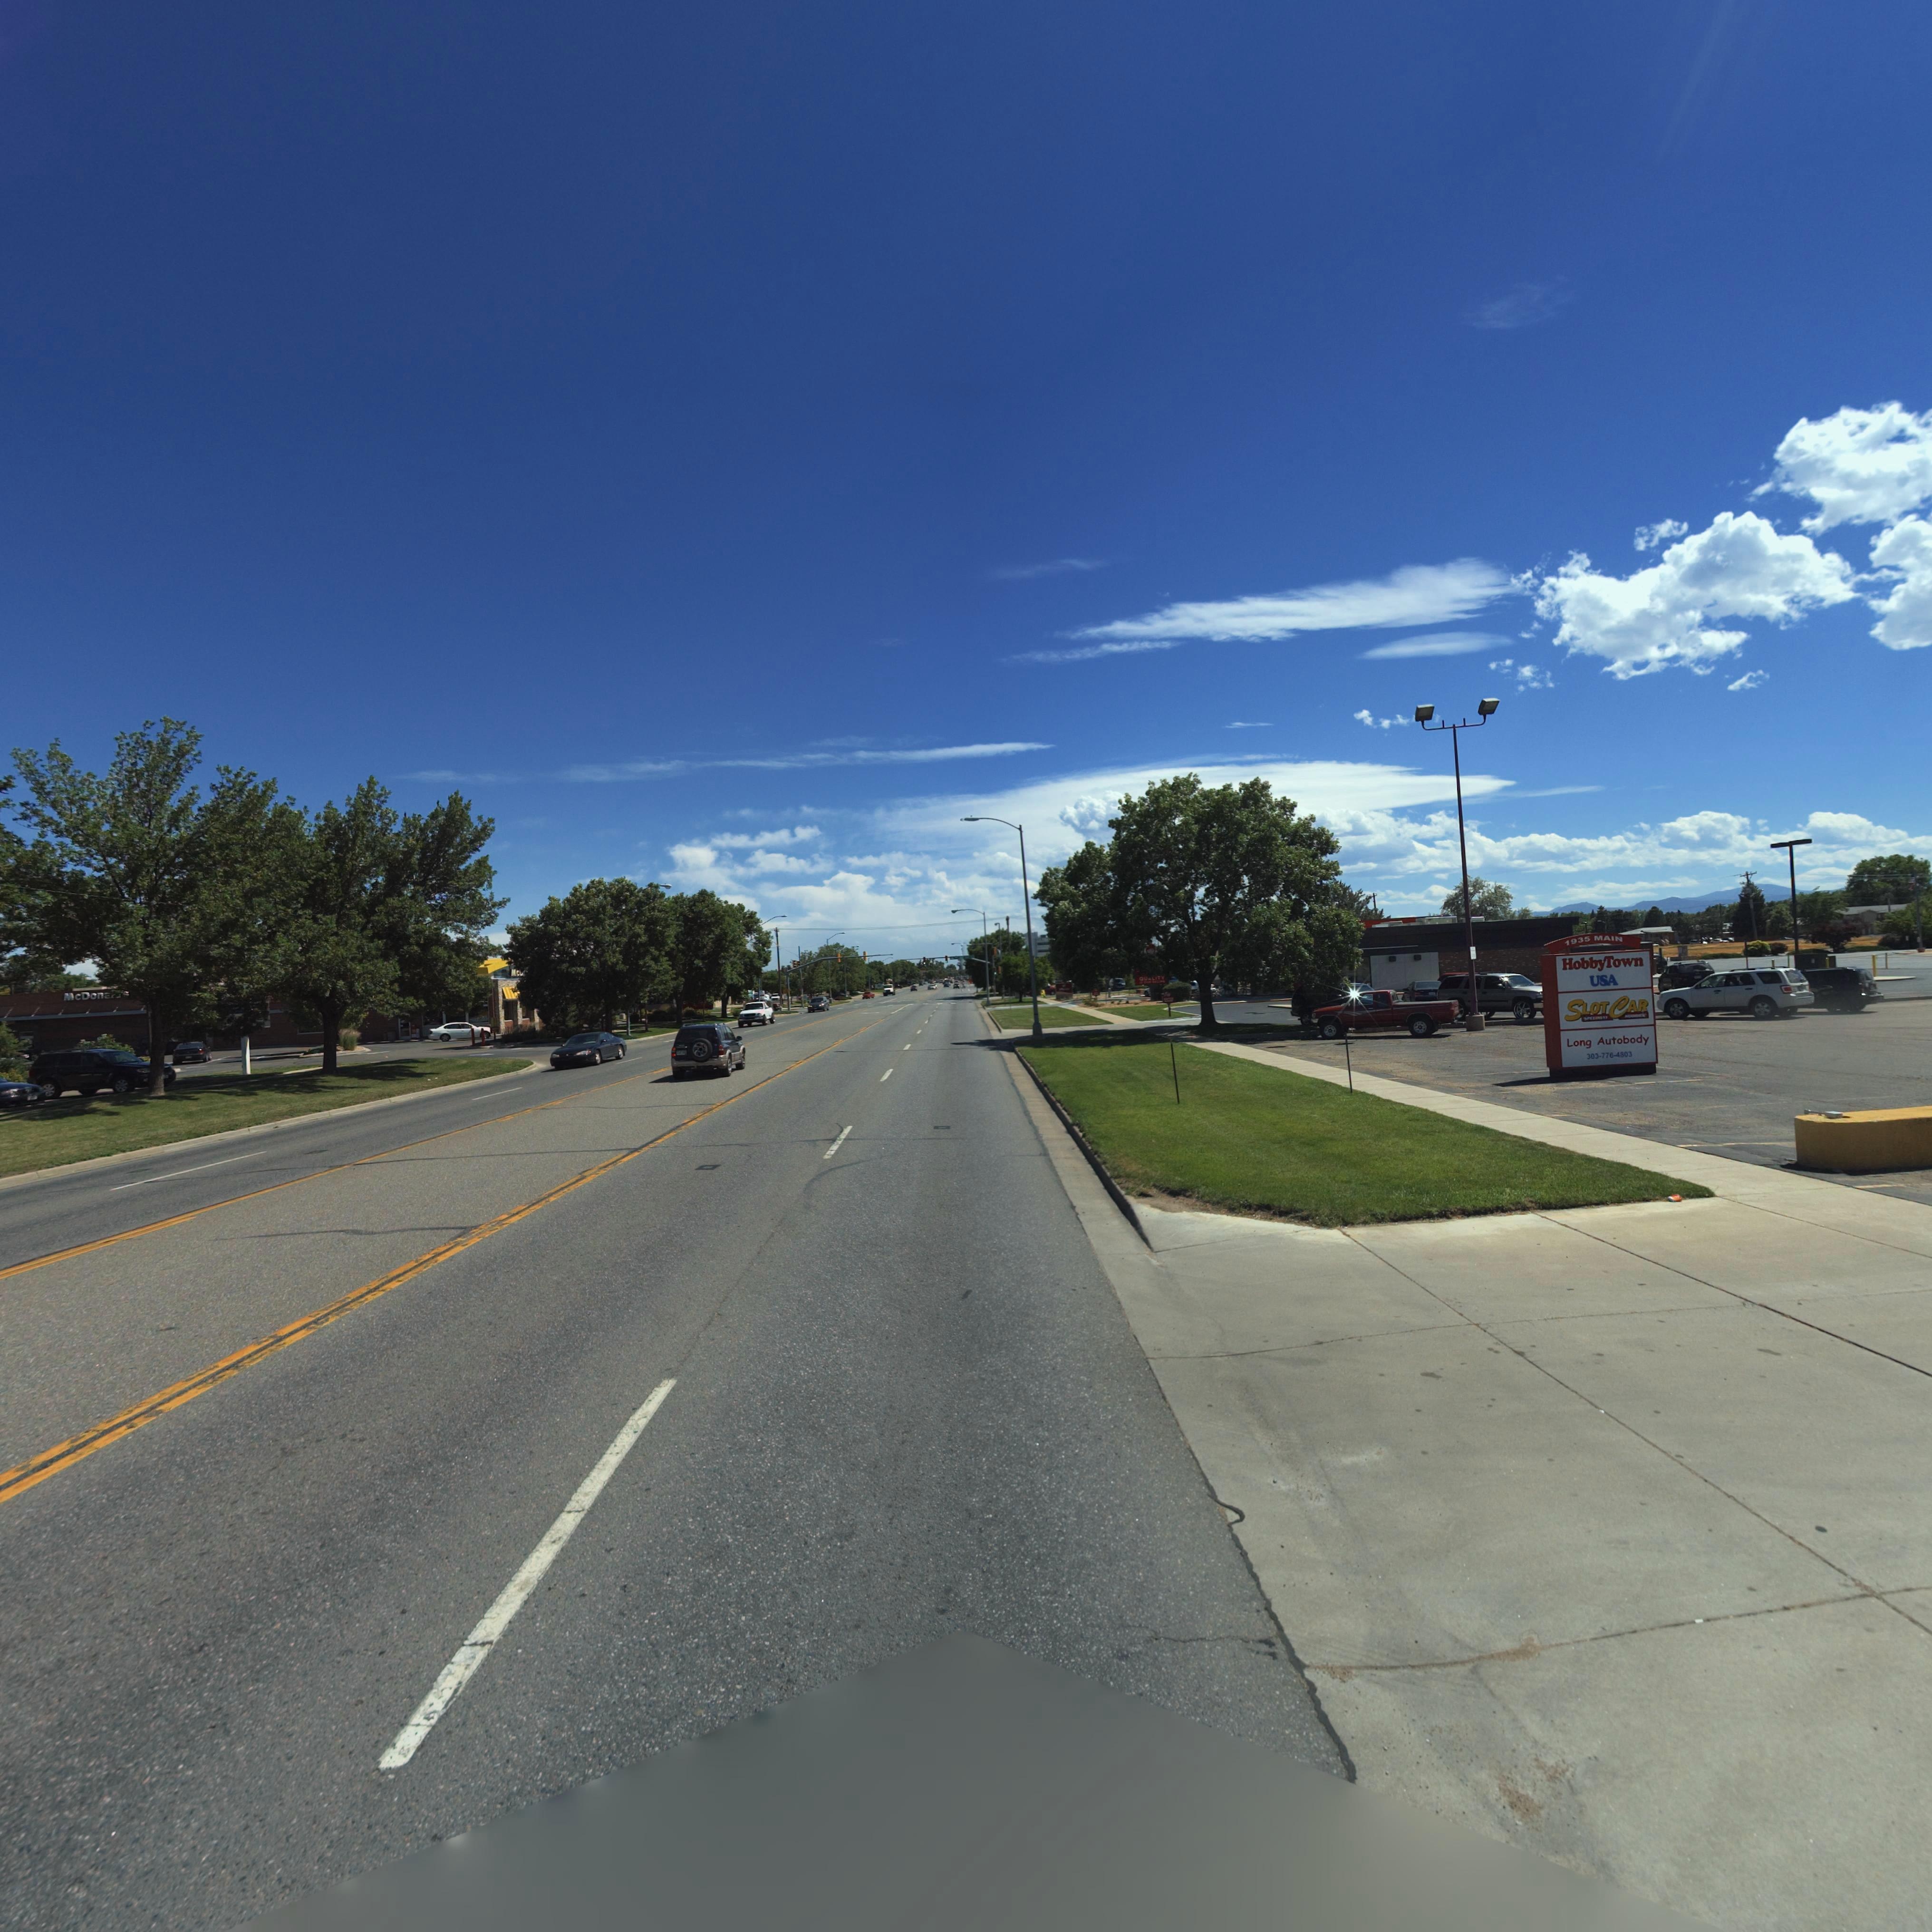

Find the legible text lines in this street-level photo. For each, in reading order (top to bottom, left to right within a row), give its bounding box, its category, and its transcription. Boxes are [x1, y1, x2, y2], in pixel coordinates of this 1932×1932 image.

[1565, 936, 1591, 946] StreetNumber: 1935
[1594, 935, 1623, 942] StreetName: MAIN
[1561, 955, 1644, 971] BusinessName: HobbyTown
[511, 968, 520, 976] BusinessName: Mc
[1589, 974, 1618, 986] BusinessName: USA
[63, 989, 130, 1001] BusinessName: McDona**'s
[1563, 995, 1649, 1021] BusinessName: SLOT CAR
[1566, 1034, 1649, 1049] BusinessName: Long Autobody